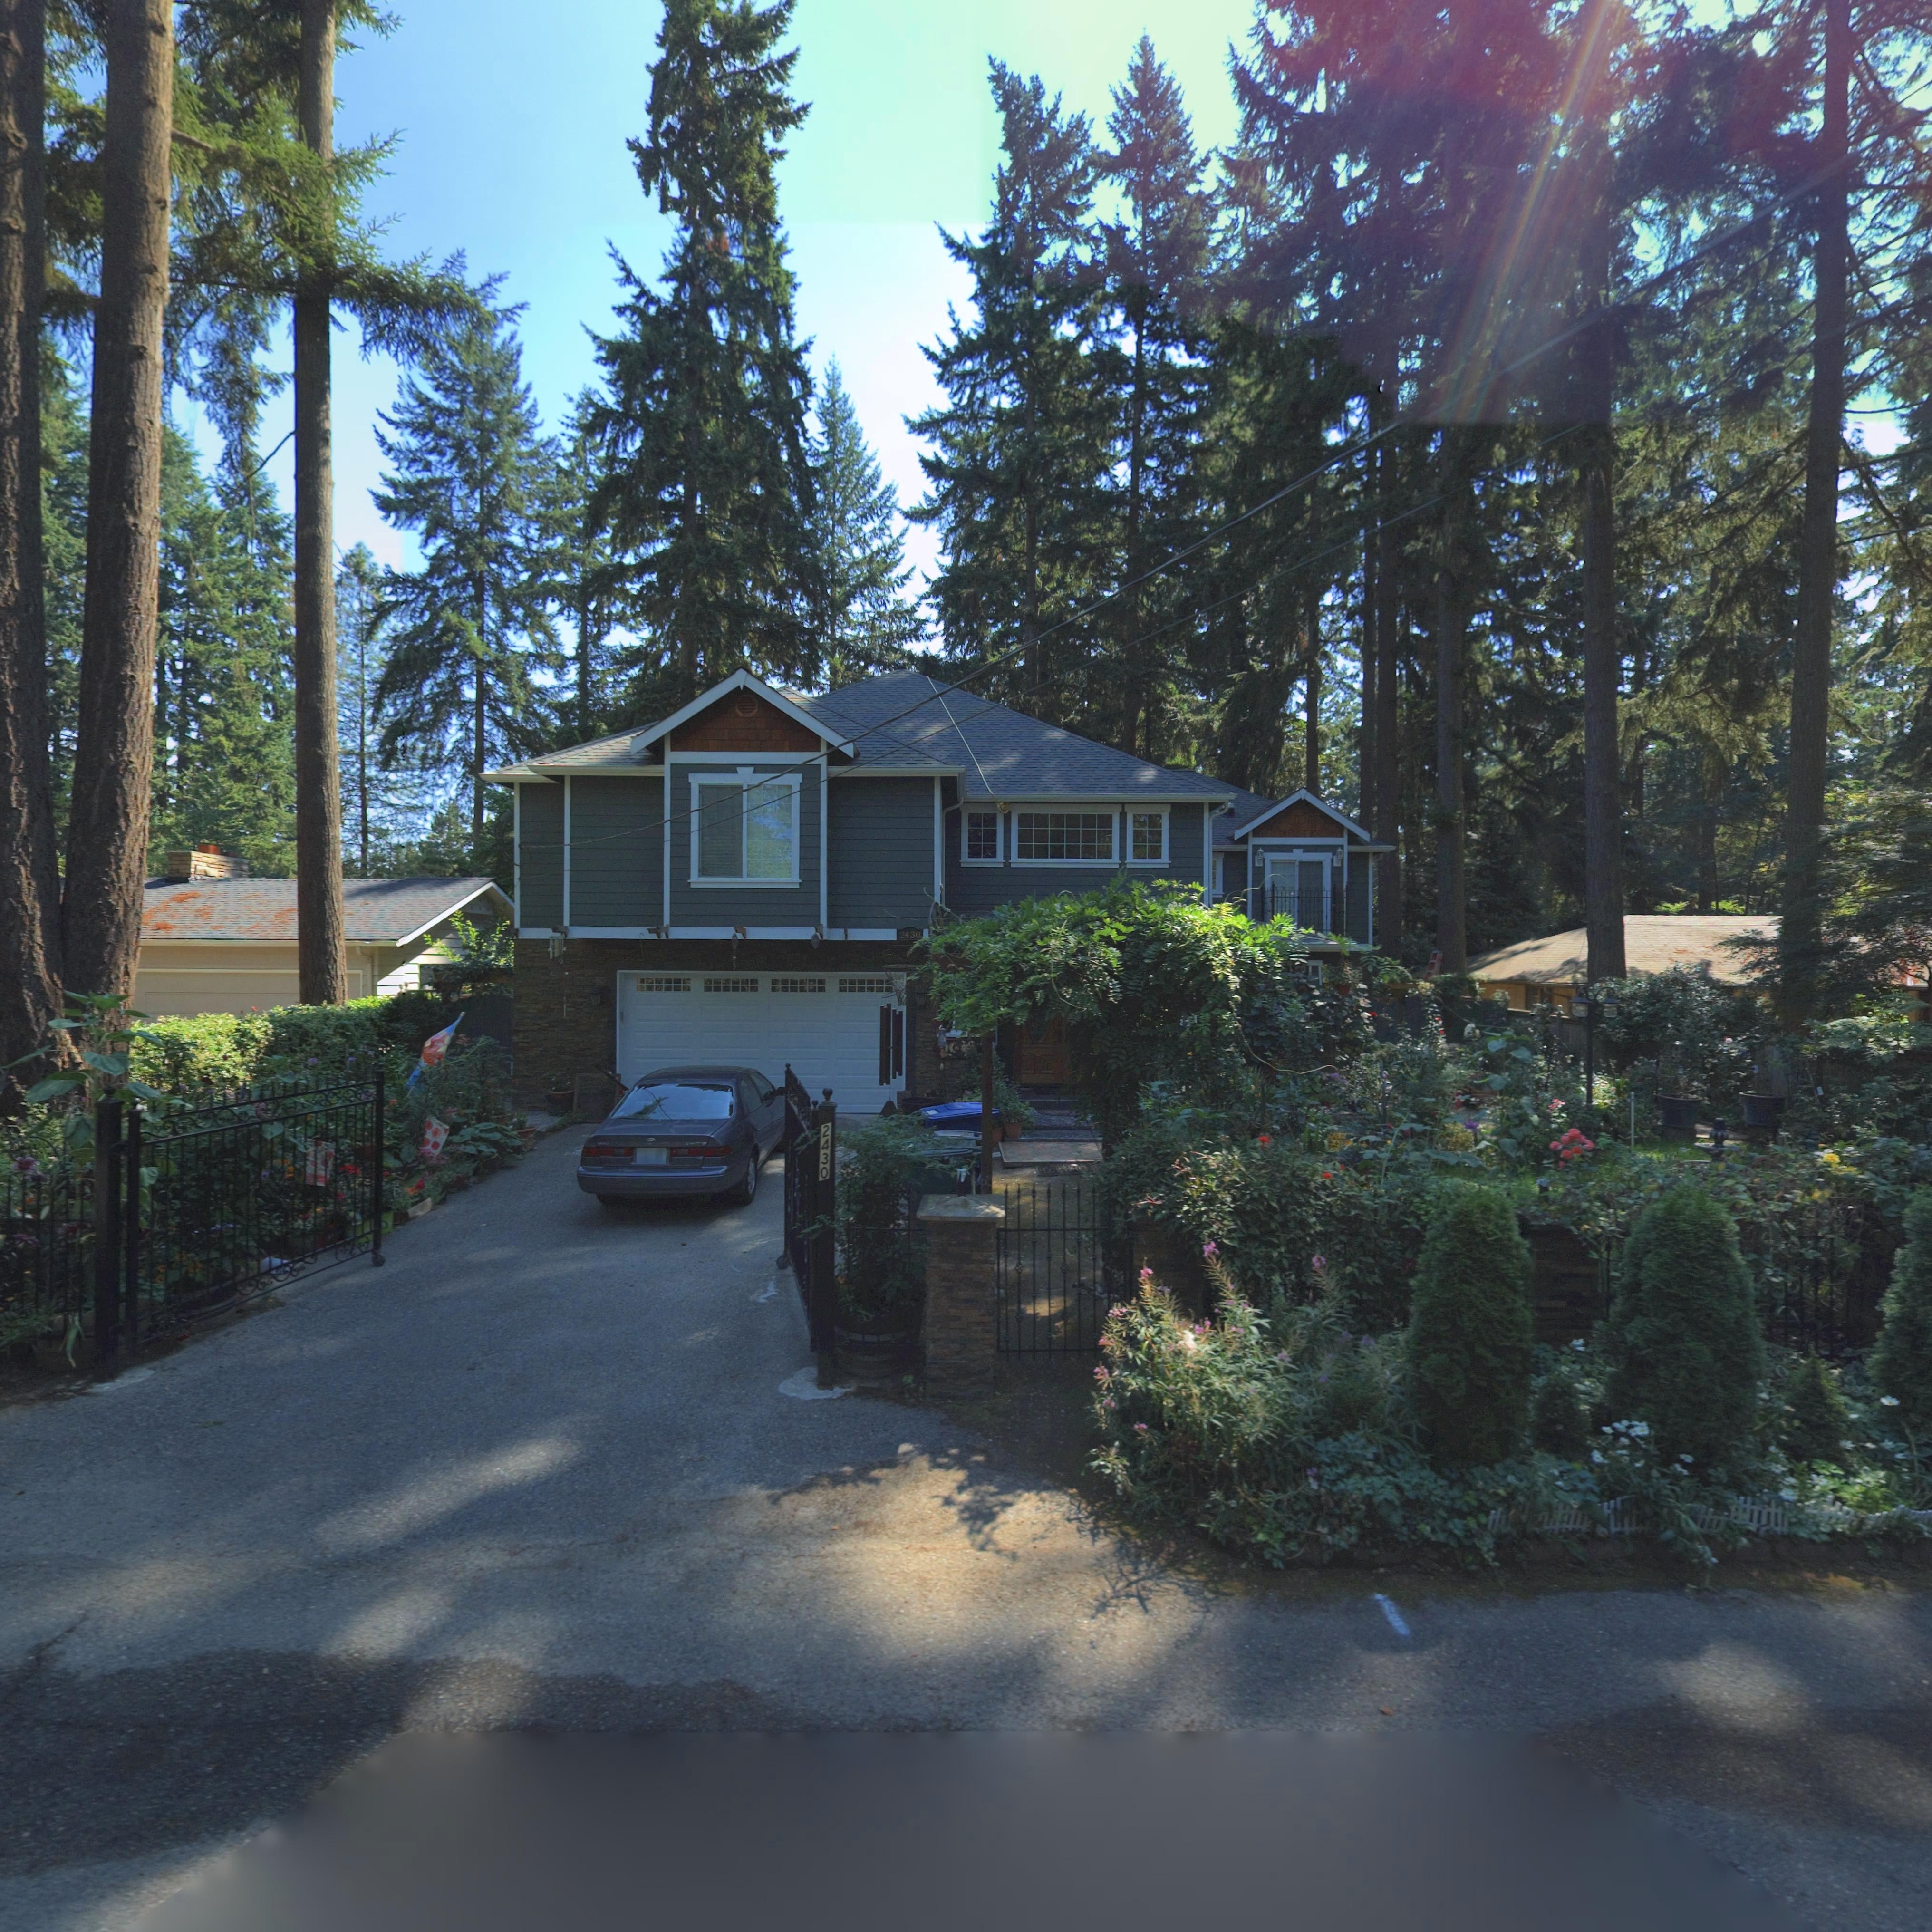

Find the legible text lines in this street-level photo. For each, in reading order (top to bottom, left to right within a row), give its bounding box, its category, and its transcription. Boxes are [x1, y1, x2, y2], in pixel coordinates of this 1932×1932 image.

[899, 930, 921, 939] StreetNumber: 2430
[819, 1122, 831, 1180] StreetNumber: 2430